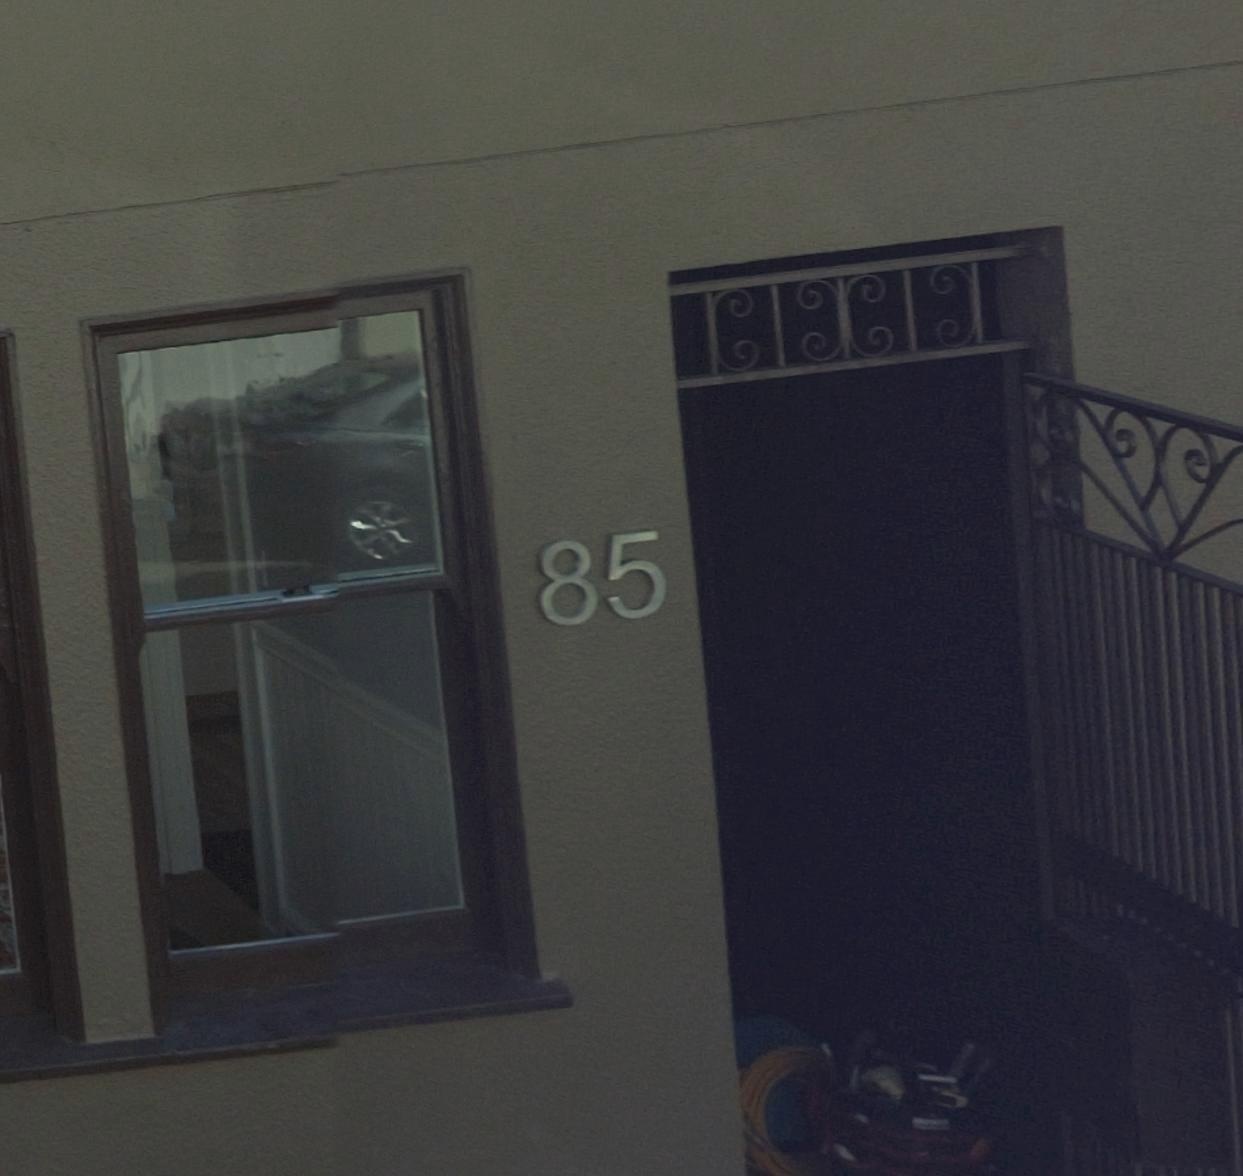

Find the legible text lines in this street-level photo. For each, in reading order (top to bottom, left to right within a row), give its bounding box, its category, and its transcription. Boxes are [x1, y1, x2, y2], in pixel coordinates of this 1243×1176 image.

[536, 526, 672, 631] StreetNumber: 85